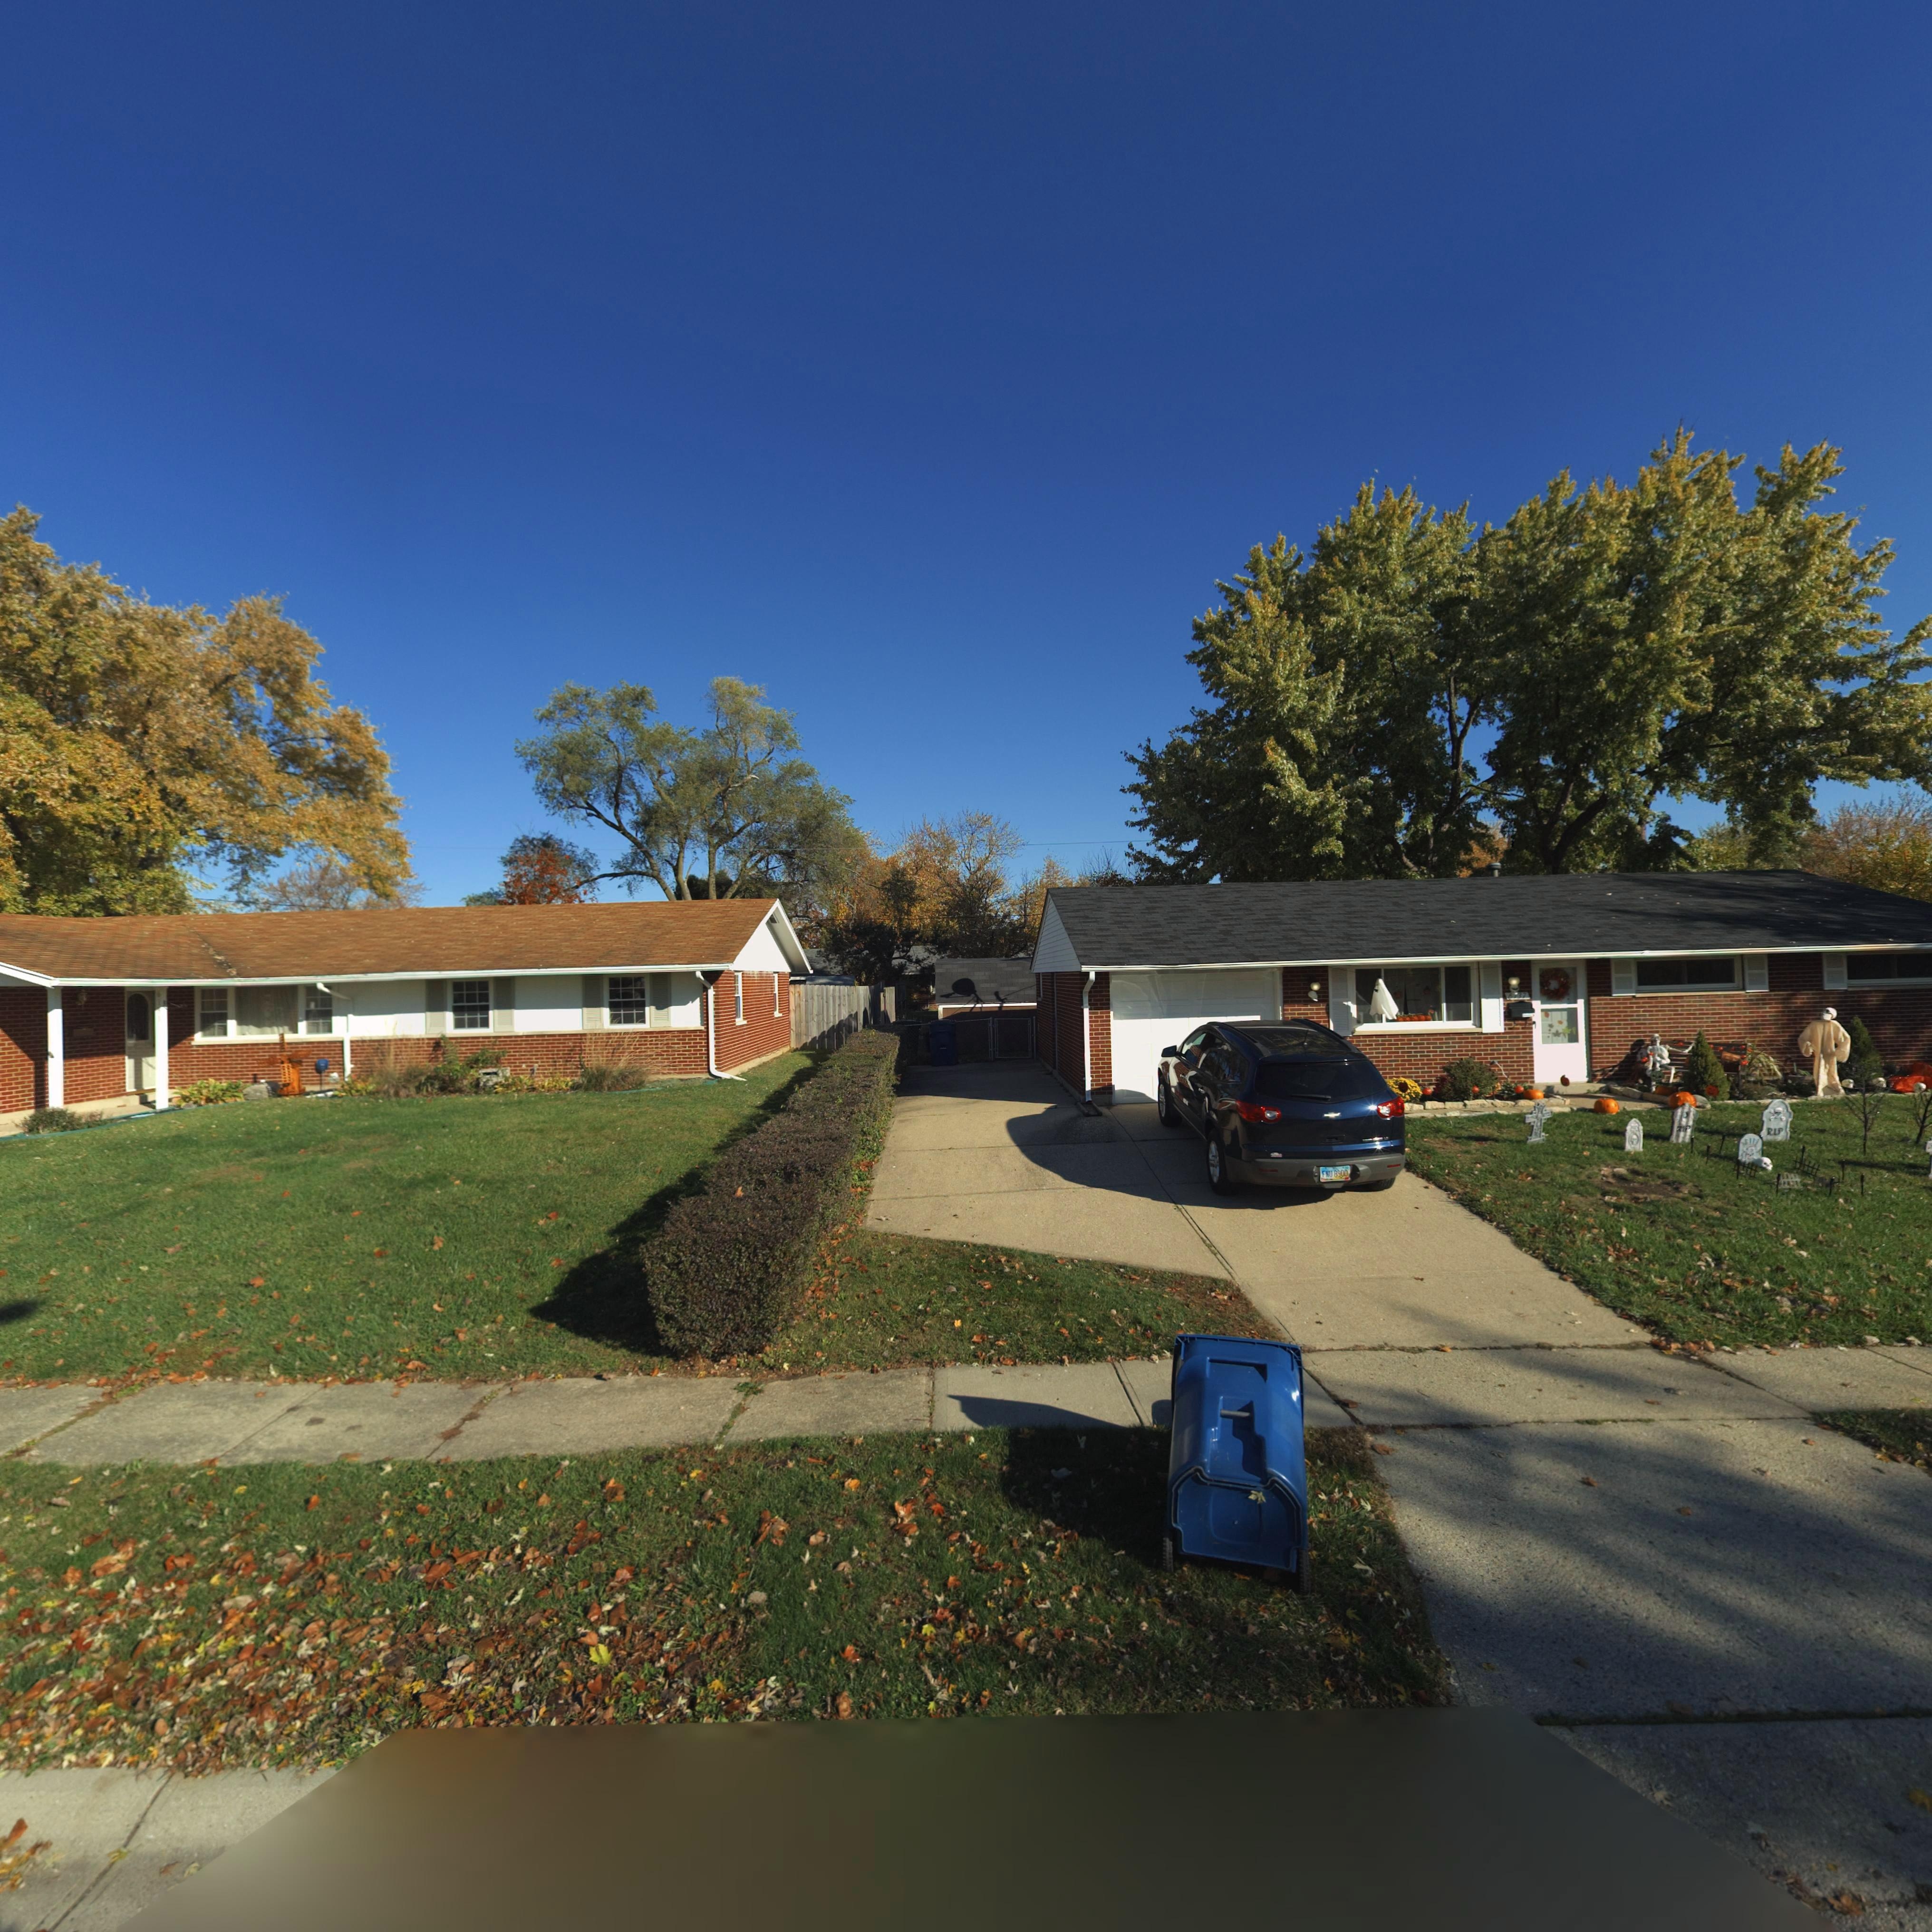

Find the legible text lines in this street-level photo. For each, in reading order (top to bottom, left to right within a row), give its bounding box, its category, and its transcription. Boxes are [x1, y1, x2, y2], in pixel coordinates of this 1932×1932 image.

[156, 989, 162, 1006] StreetNumber: 61
[1507, 992, 1527, 1000] StreetNumber: 6*37